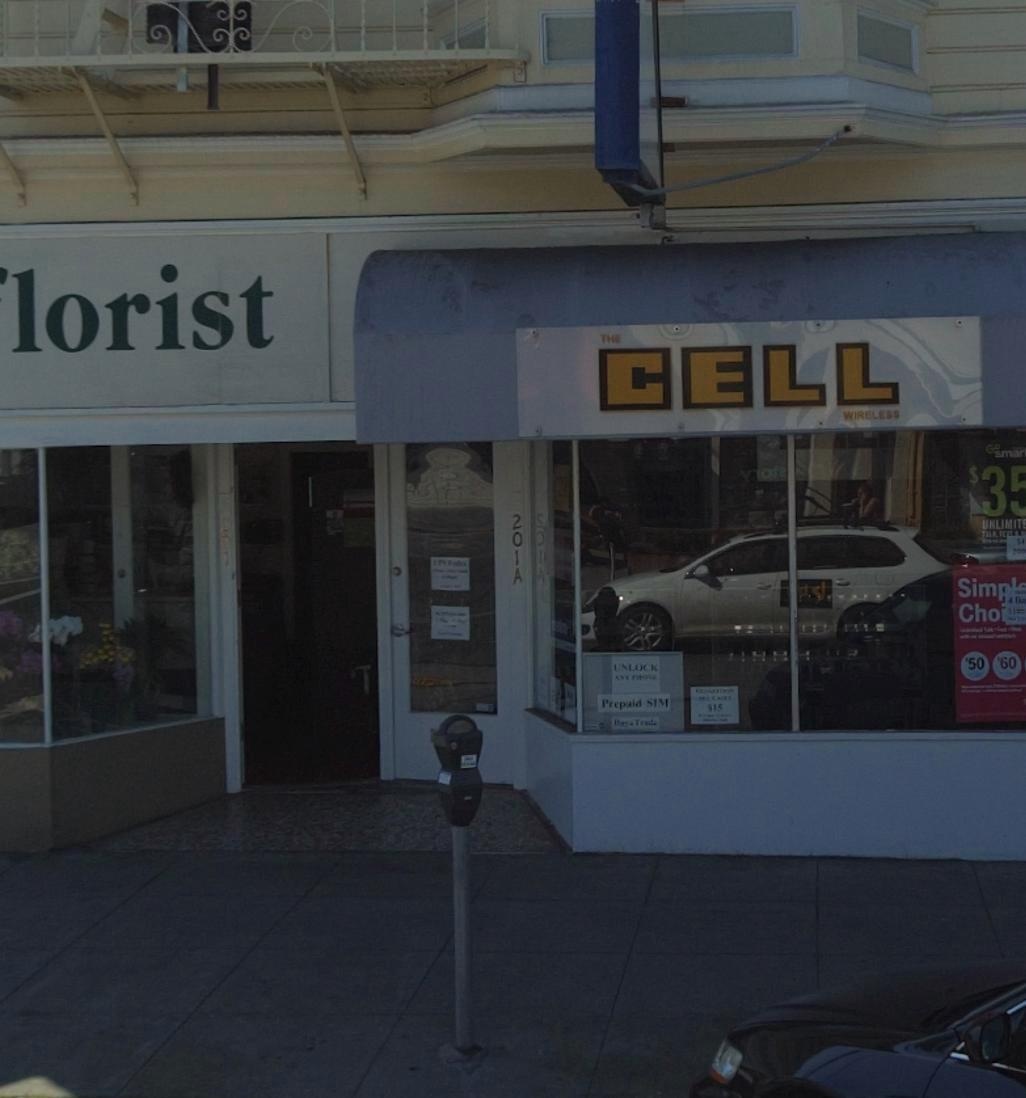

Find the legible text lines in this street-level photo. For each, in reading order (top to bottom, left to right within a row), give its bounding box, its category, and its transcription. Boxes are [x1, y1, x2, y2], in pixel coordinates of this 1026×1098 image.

[9, 259, 279, 356] BusinessName: lorist
[596, 331, 621, 344] BusinessName: THE
[596, 340, 901, 413] BusinessName: CELL
[841, 408, 902, 422] BusinessName: WIRELESS
[984, 441, 1003, 456] None: Go
[994, 448, 1025, 458] None: smar
[980, 464, 1007, 517] None: 3
[981, 518, 1022, 530] None: UNLIMIT
[218, 513, 233, 571] StreetNumber: 201
[510, 510, 526, 586] StreetNumber: 201A
[533, 512, 545, 585] StreetNumber: *O1A
[956, 576, 1012, 603] None: Sim*
[957, 602, 1001, 624] None: Cho
[611, 660, 657, 671] None: UNLOCK
[967, 656, 986, 670] None: 50
[999, 655, 1018, 671] None: 60
[613, 672, 630, 682] None: ANY
[600, 695, 668, 710] None: Prepaid SIM
[705, 701, 724, 712] None: $15